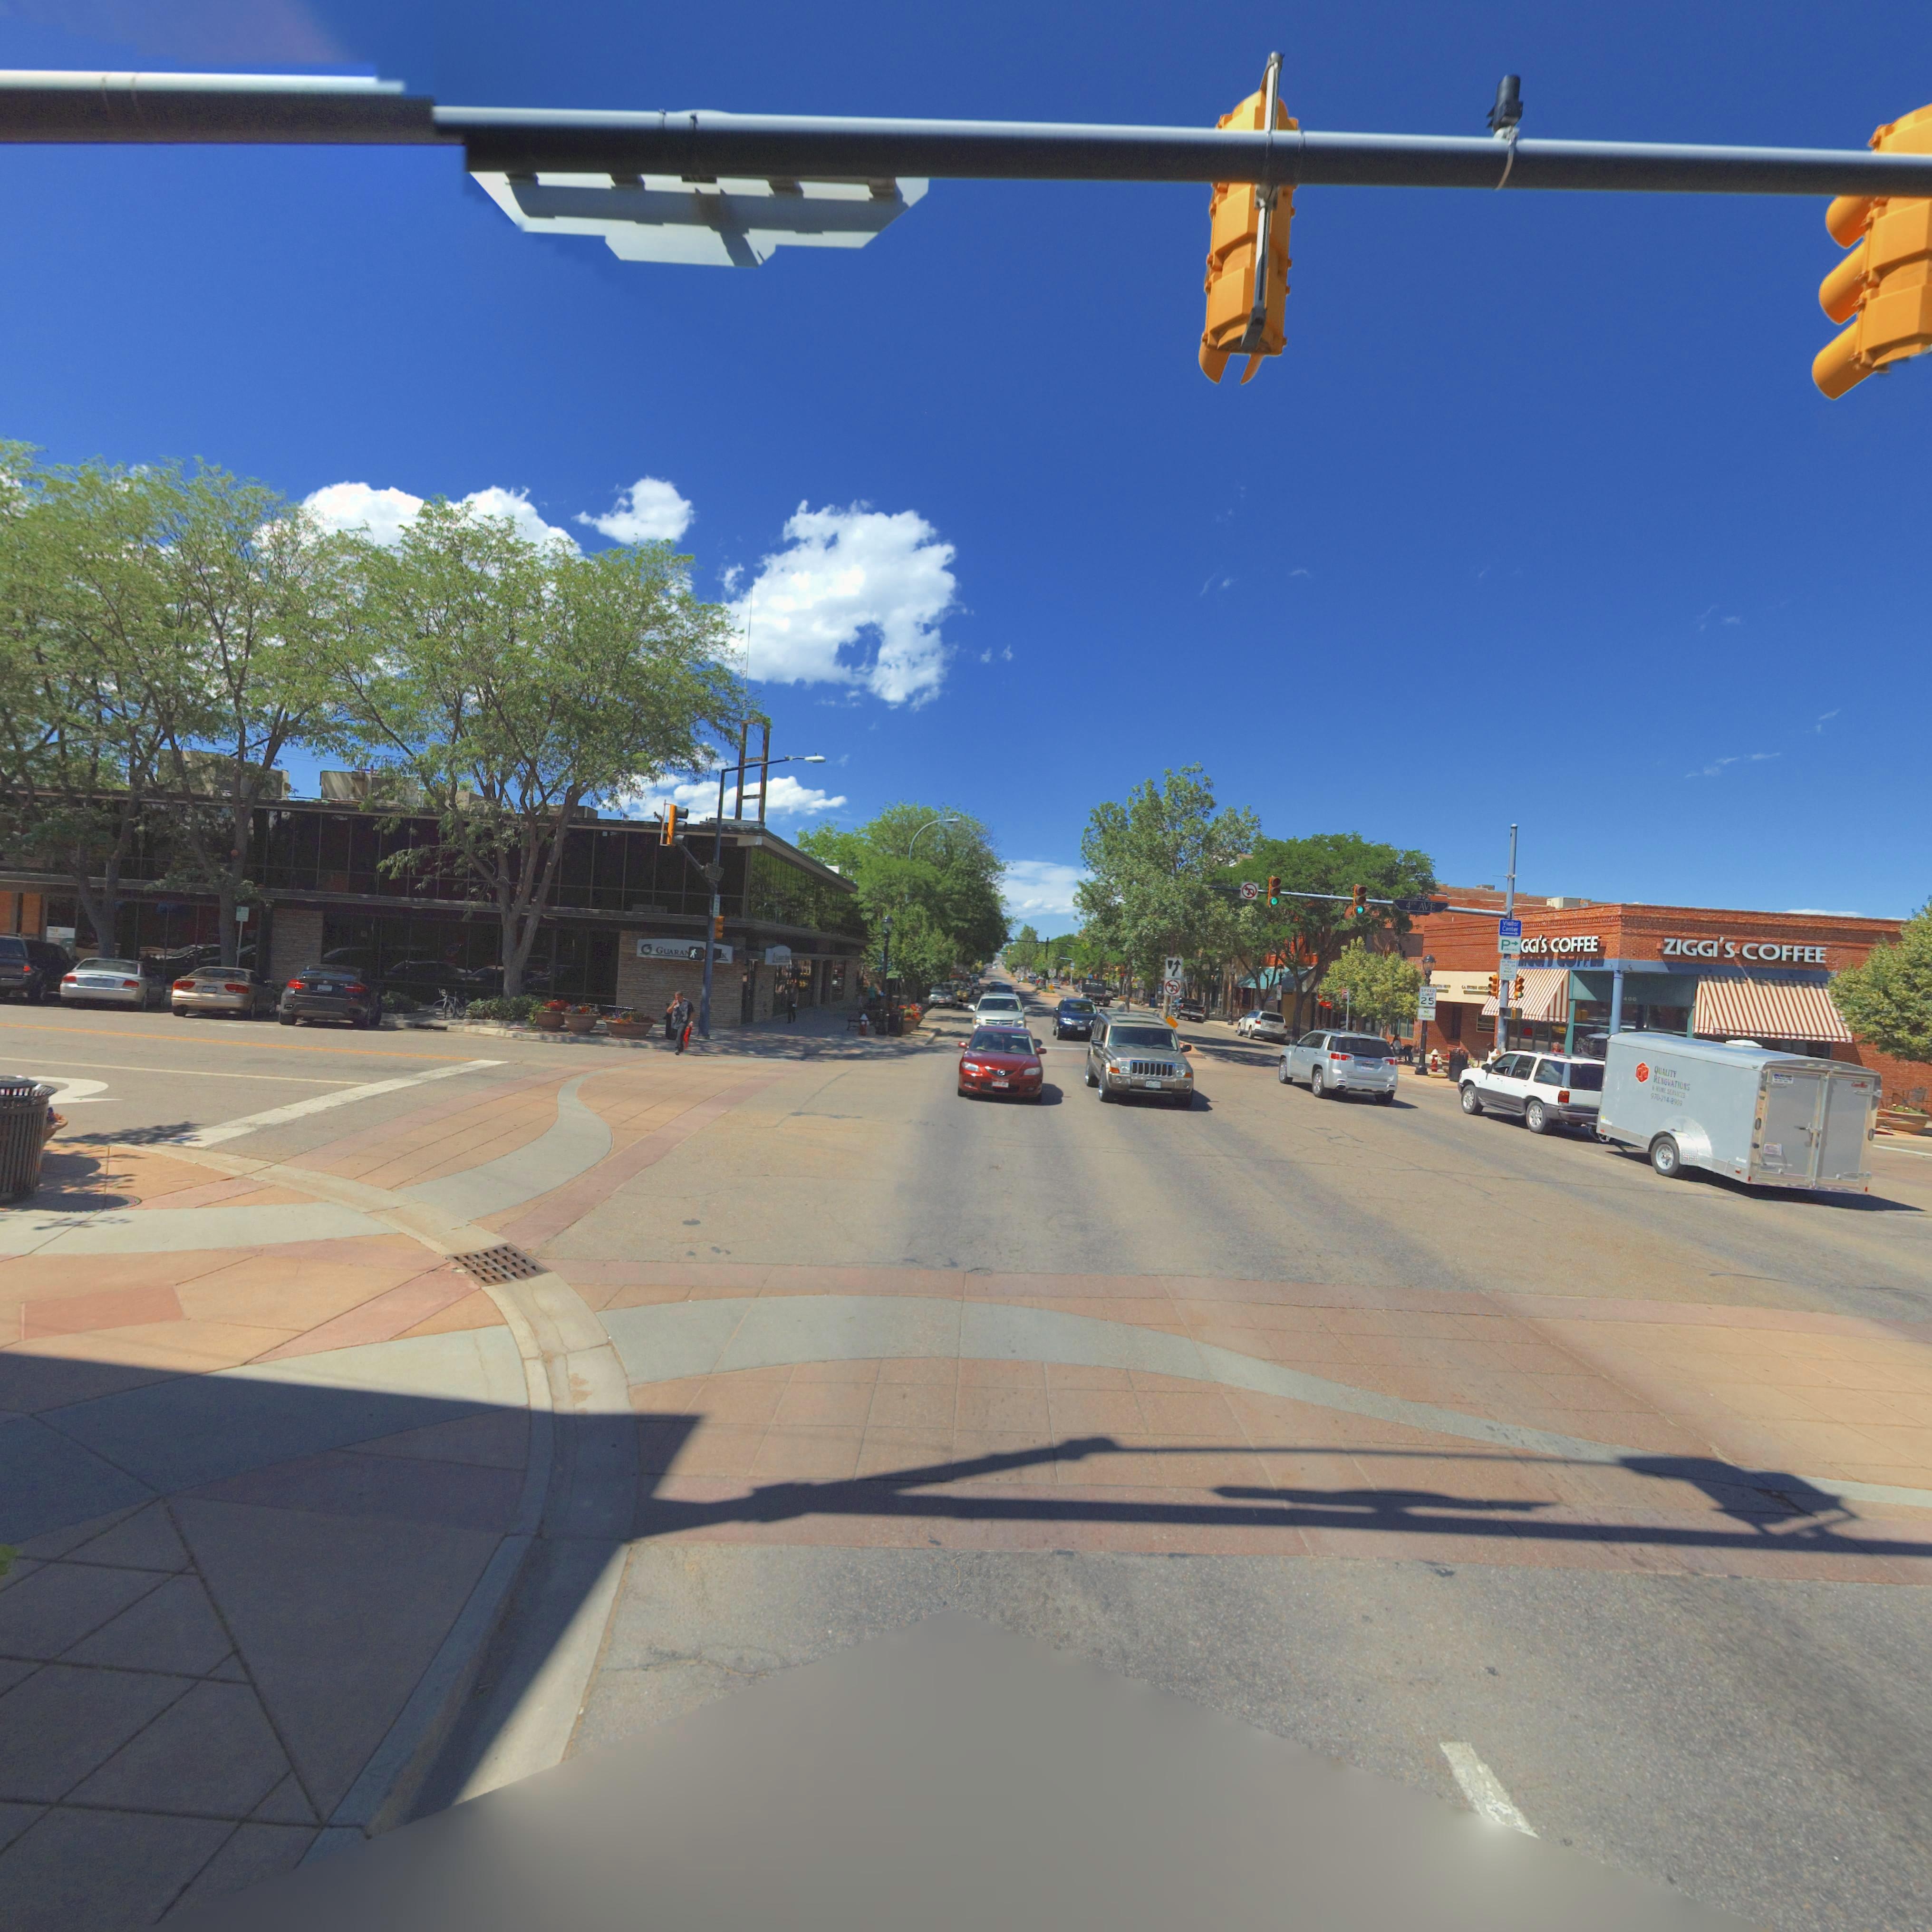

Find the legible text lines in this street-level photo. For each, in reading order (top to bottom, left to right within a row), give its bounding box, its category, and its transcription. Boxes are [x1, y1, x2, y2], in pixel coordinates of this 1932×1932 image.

[1405, 901, 1436, 911] StreetName: 4TH AVE
[655, 946, 727, 959] None: GUARA*****K
[1520, 934, 1599, 954] BusinessName: GGI'S COFFEE
[1662, 936, 1827, 963] BusinessName: ZIGGI'S COFFEE
[1461, 985, 1489, 990] BusinessName: *A ******R A*****
[1623, 996, 1637, 1002] StreetNumber: 400